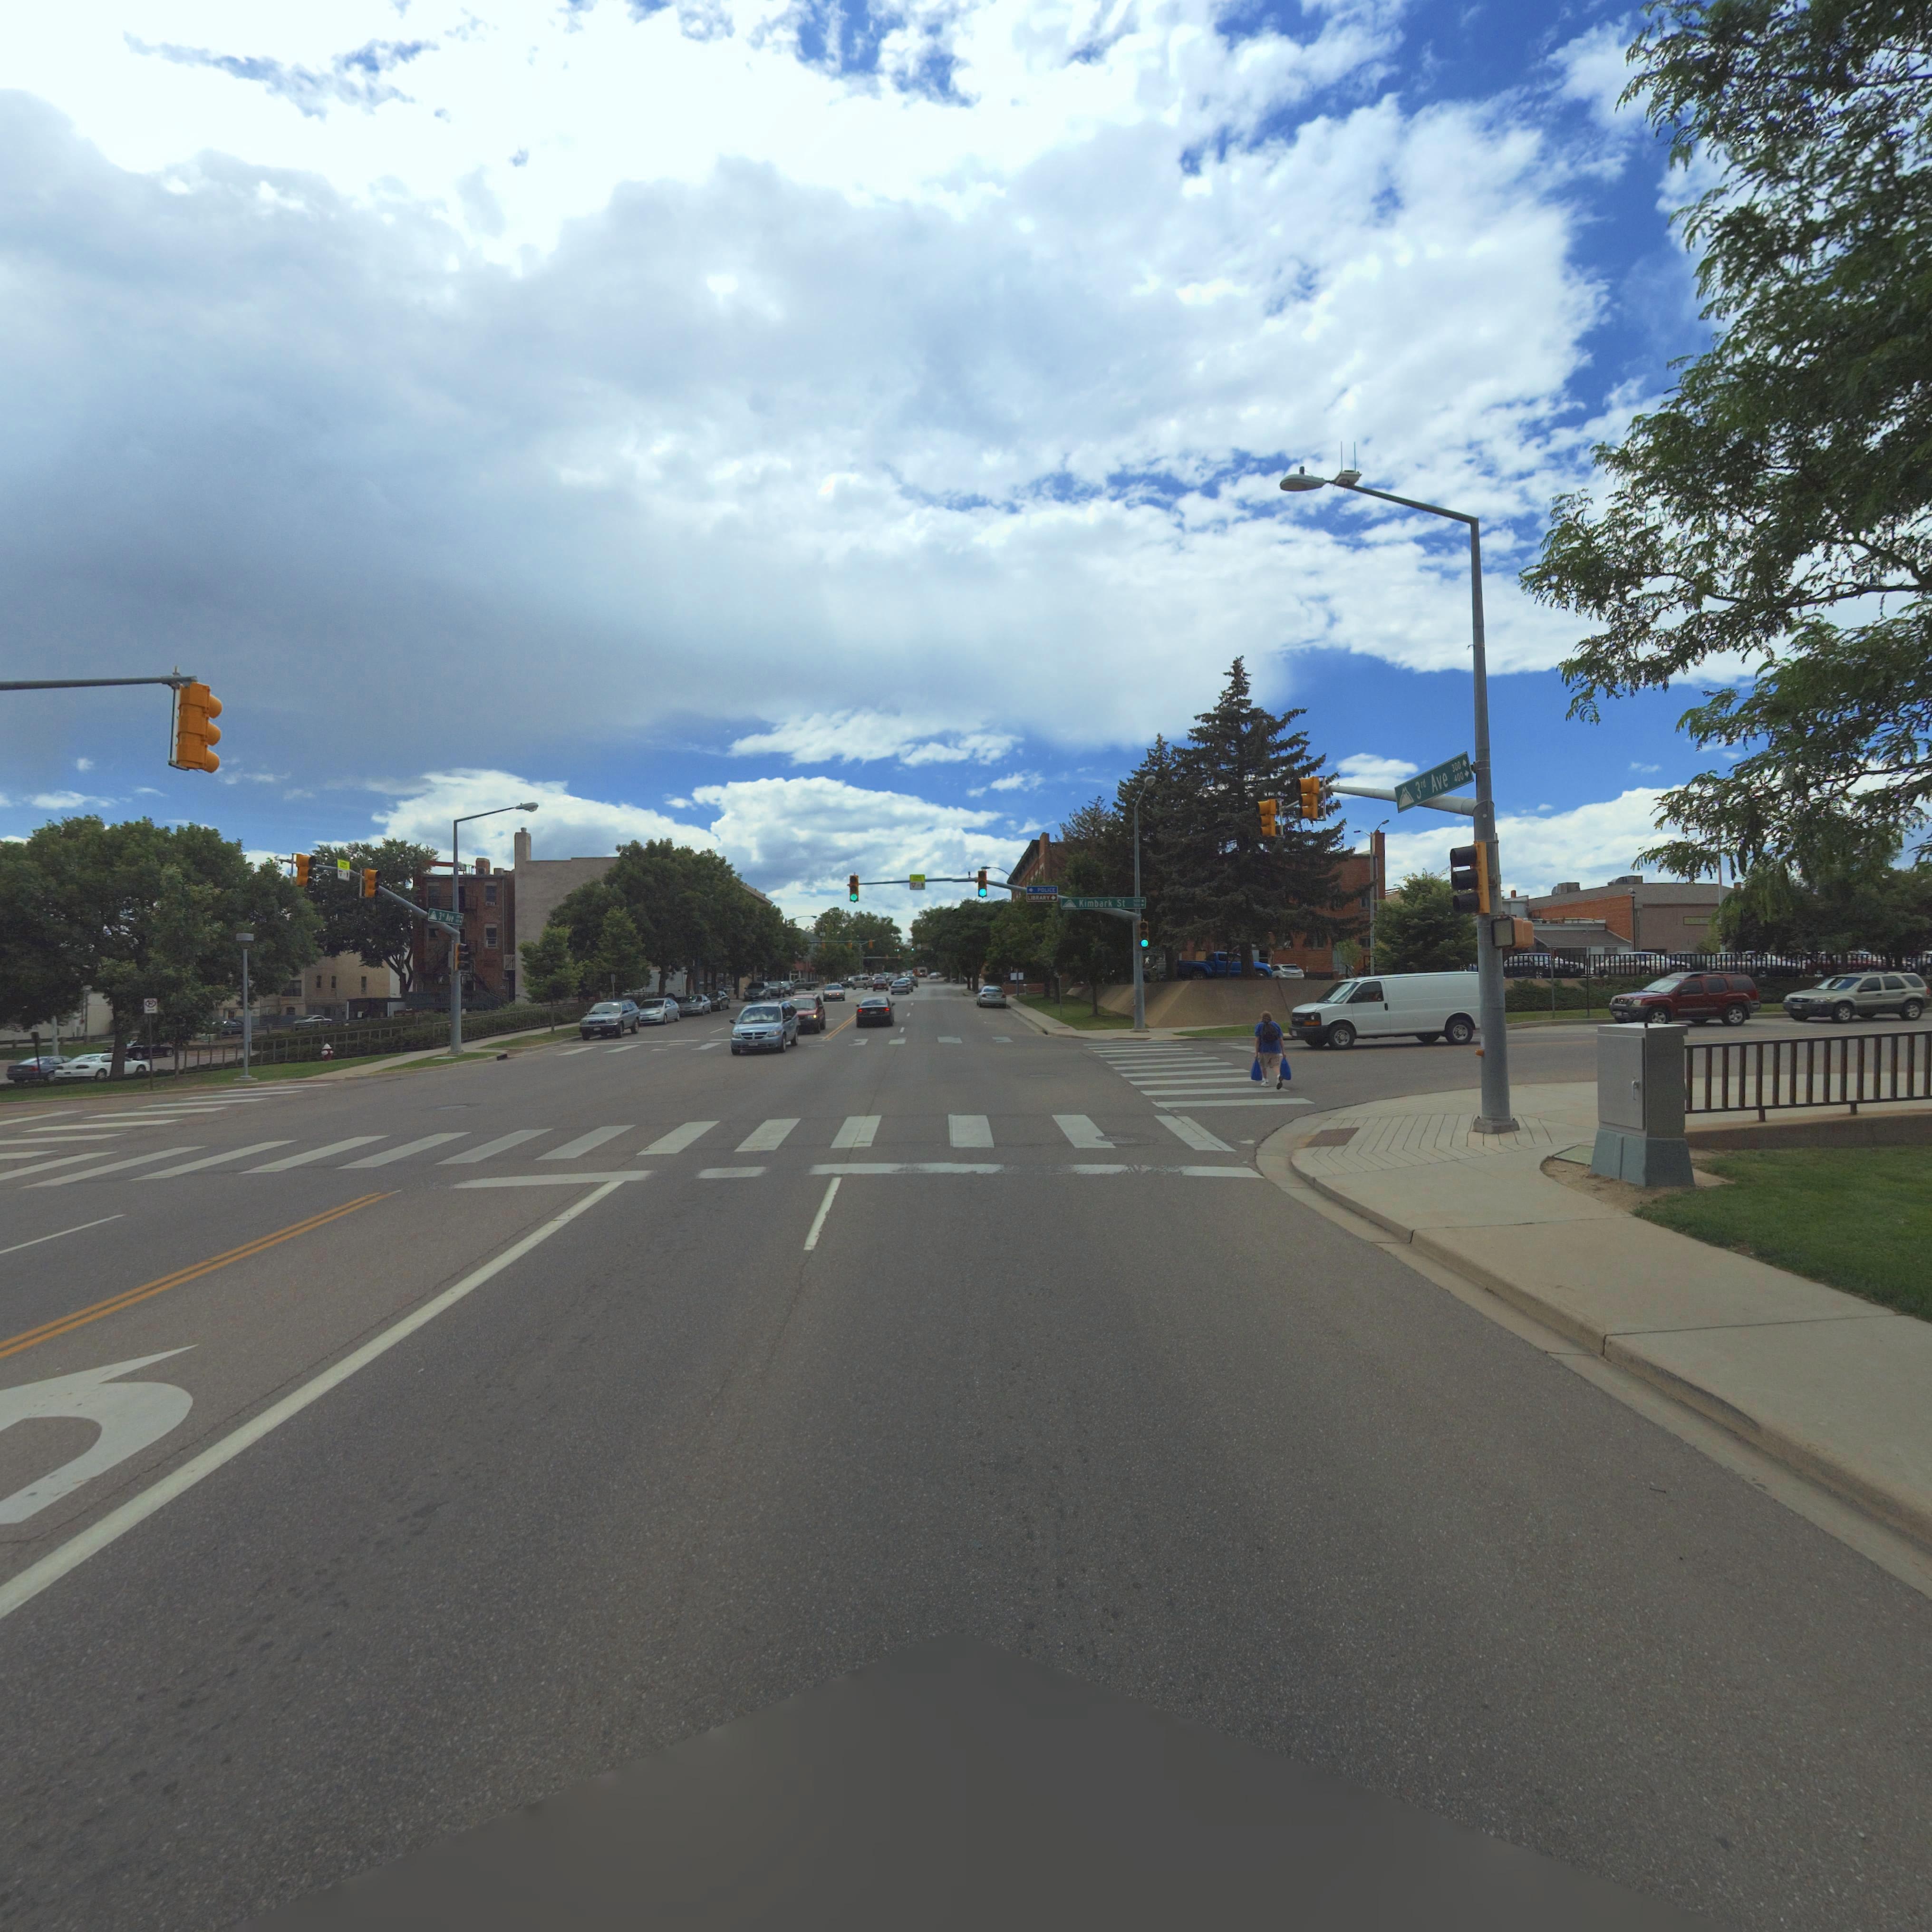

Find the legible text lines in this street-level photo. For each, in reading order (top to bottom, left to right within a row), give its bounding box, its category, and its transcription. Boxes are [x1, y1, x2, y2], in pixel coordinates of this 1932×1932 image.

[1451, 760, 1461, 773] StreetNumberRange: 300
[1454, 769, 1469, 782] StreetNumberRange: 400->
[1415, 772, 1448, 800] StreetName: 3rd Ave
[1079, 899, 1125, 907] StreetName: Kinbark St
[438, 911, 454, 922] StreetName: 3** Ave